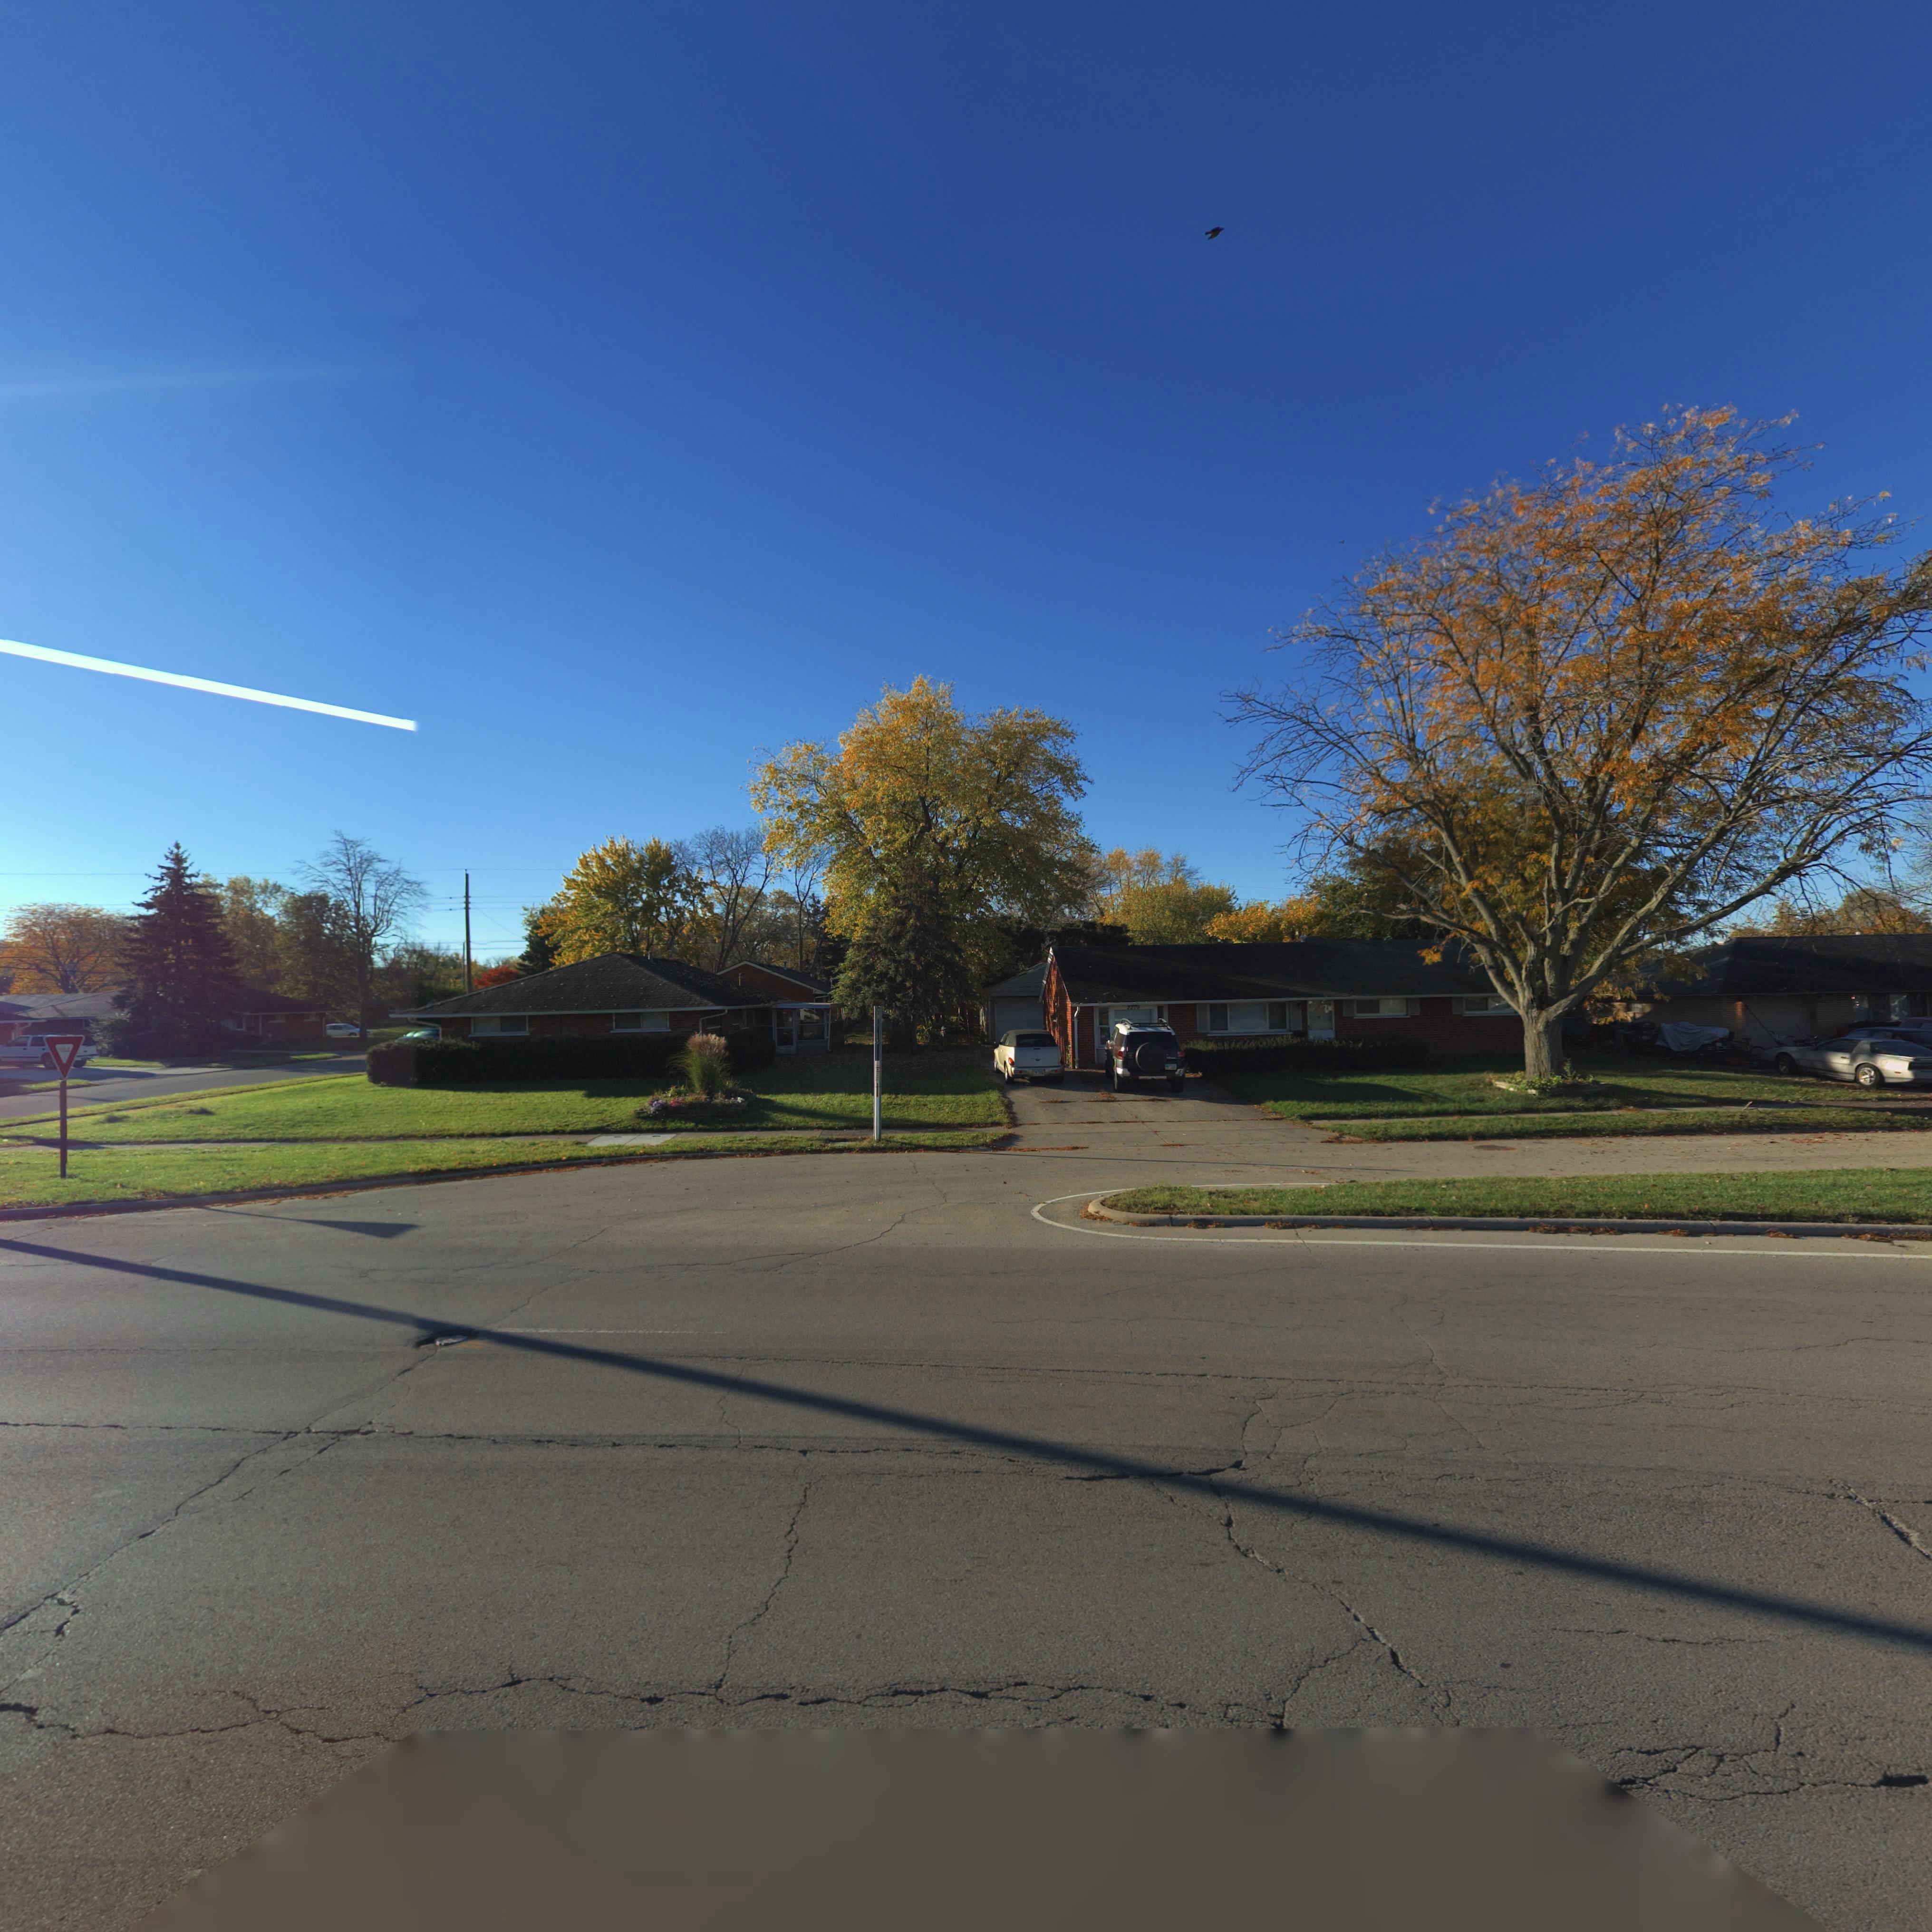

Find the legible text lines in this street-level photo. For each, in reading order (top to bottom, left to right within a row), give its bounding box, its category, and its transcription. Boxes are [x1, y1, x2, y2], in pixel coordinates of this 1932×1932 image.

[1126, 1004, 1140, 1011] StreetNumber: 2270